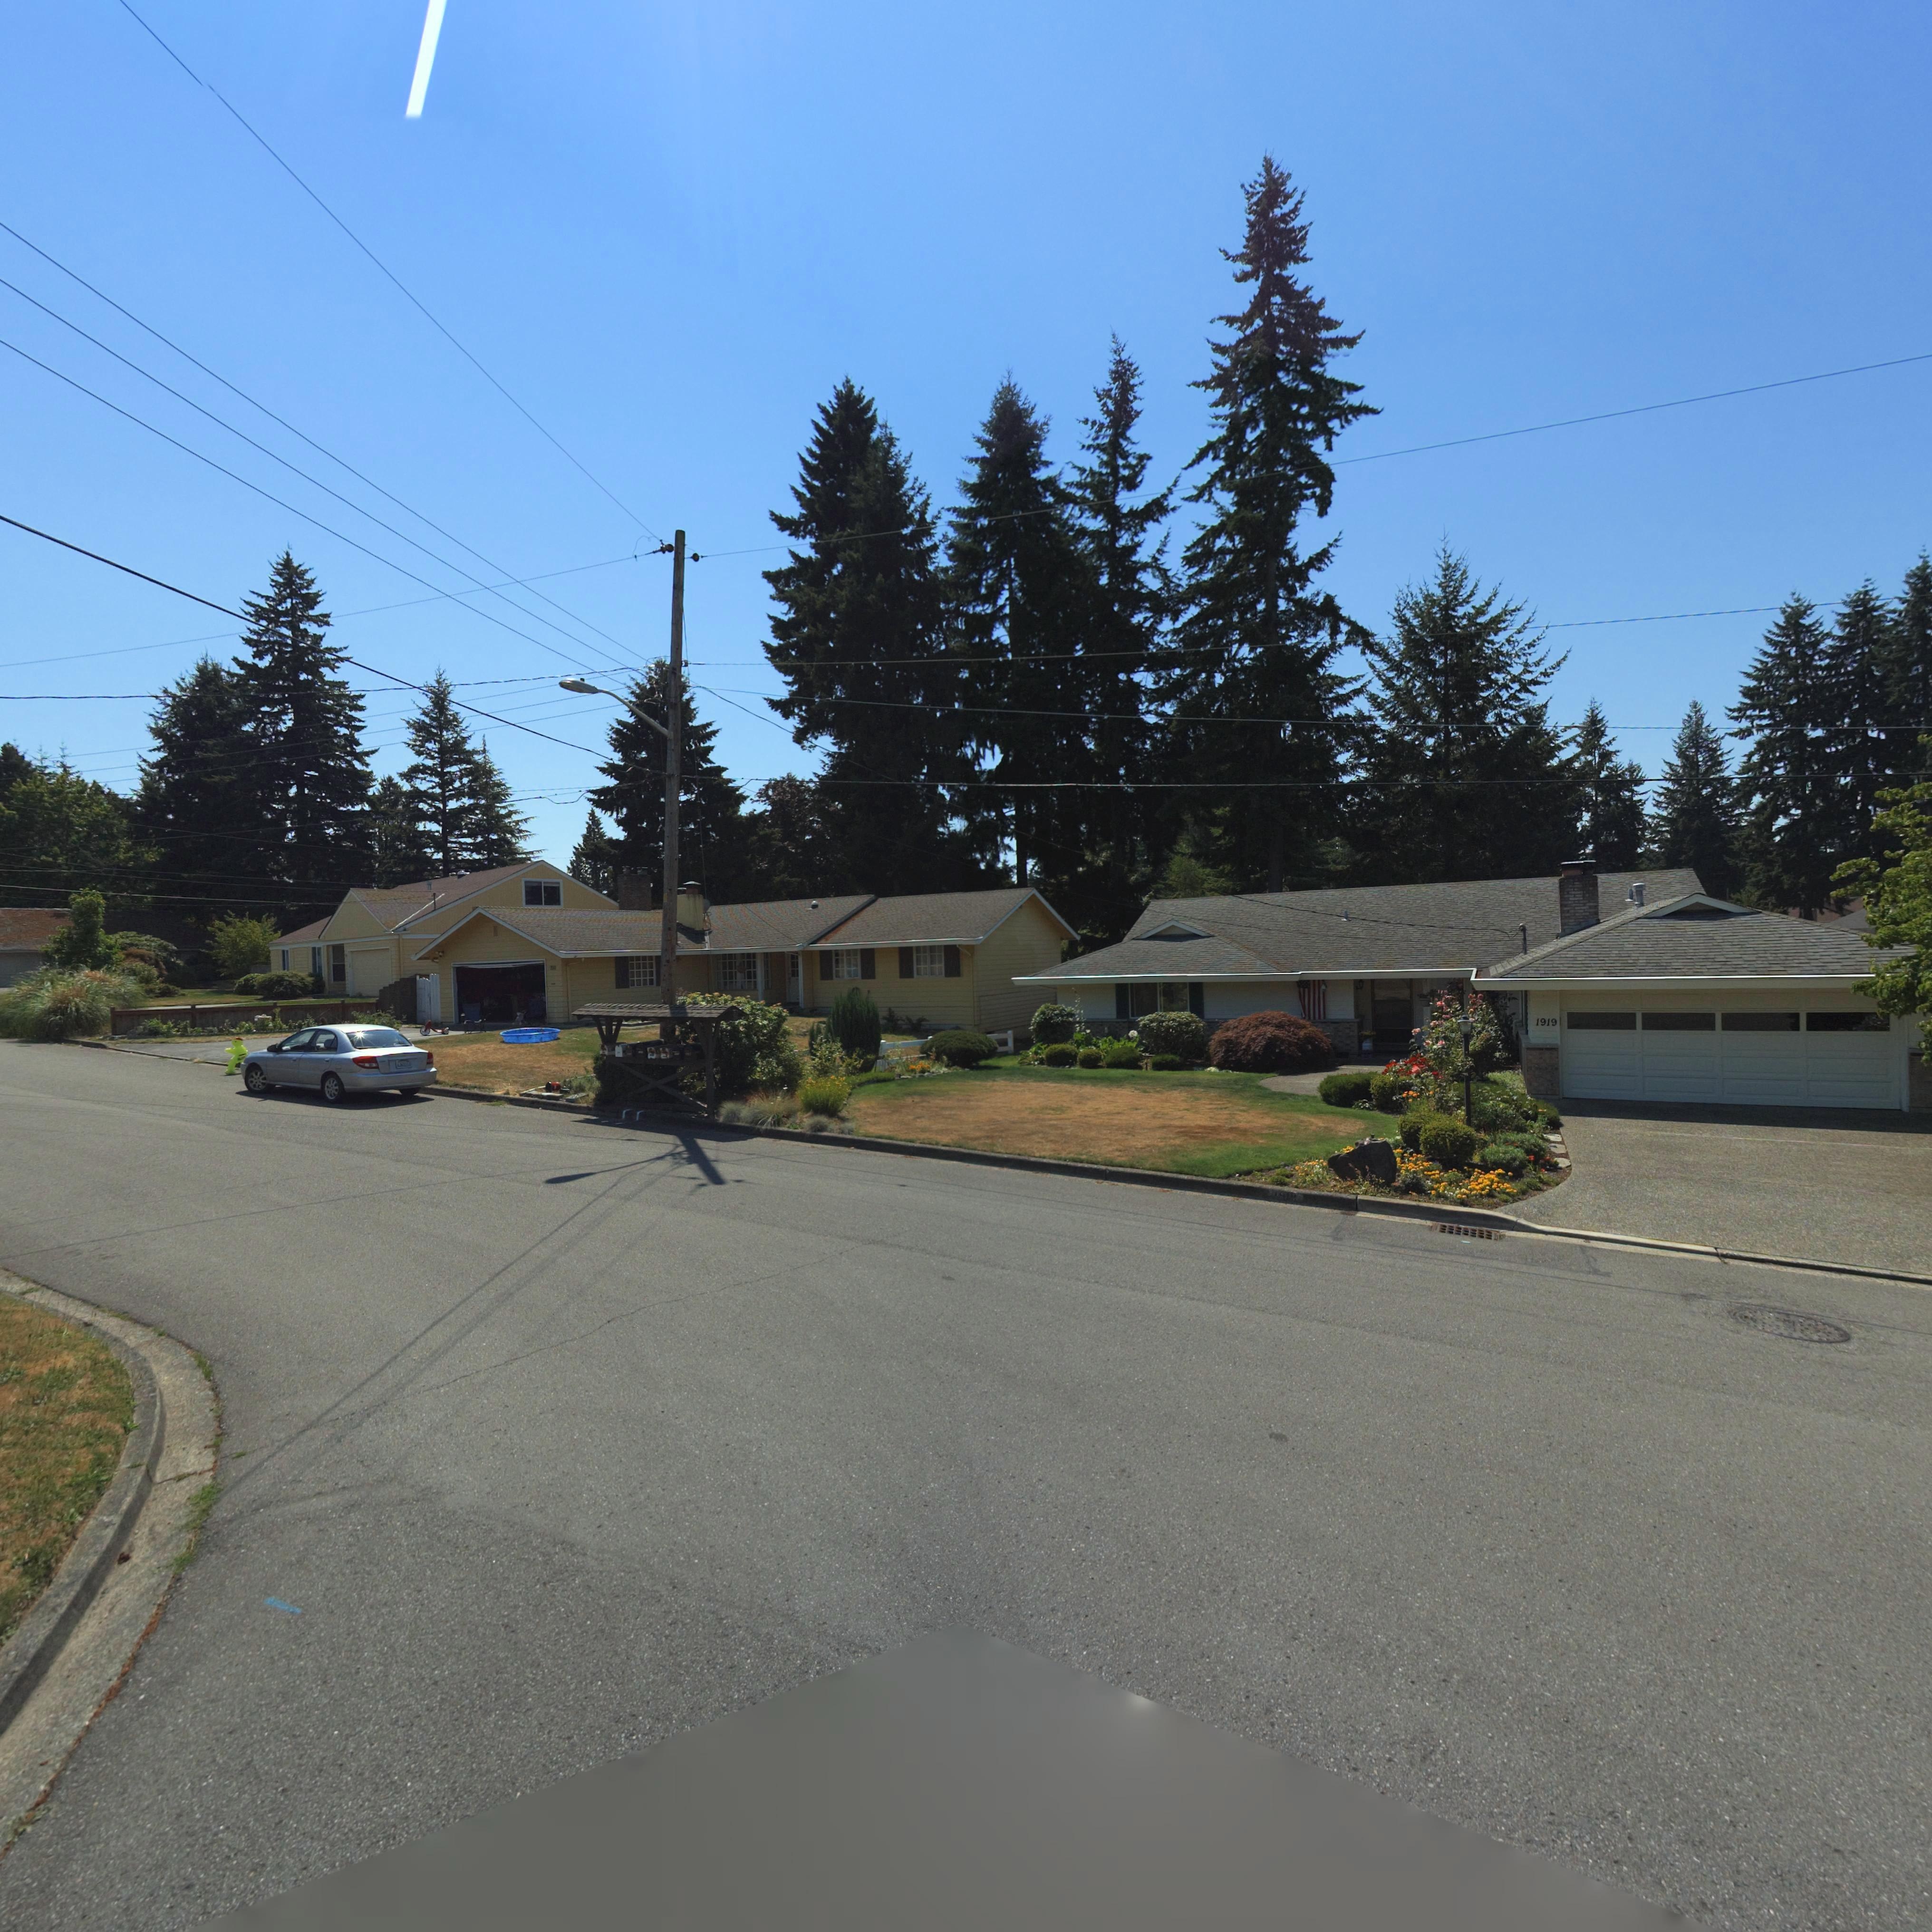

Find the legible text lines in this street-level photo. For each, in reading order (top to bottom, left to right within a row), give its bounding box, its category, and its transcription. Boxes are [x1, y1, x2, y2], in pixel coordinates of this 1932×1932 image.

[1535, 1017, 1557, 1026] StreetNumber: 1919